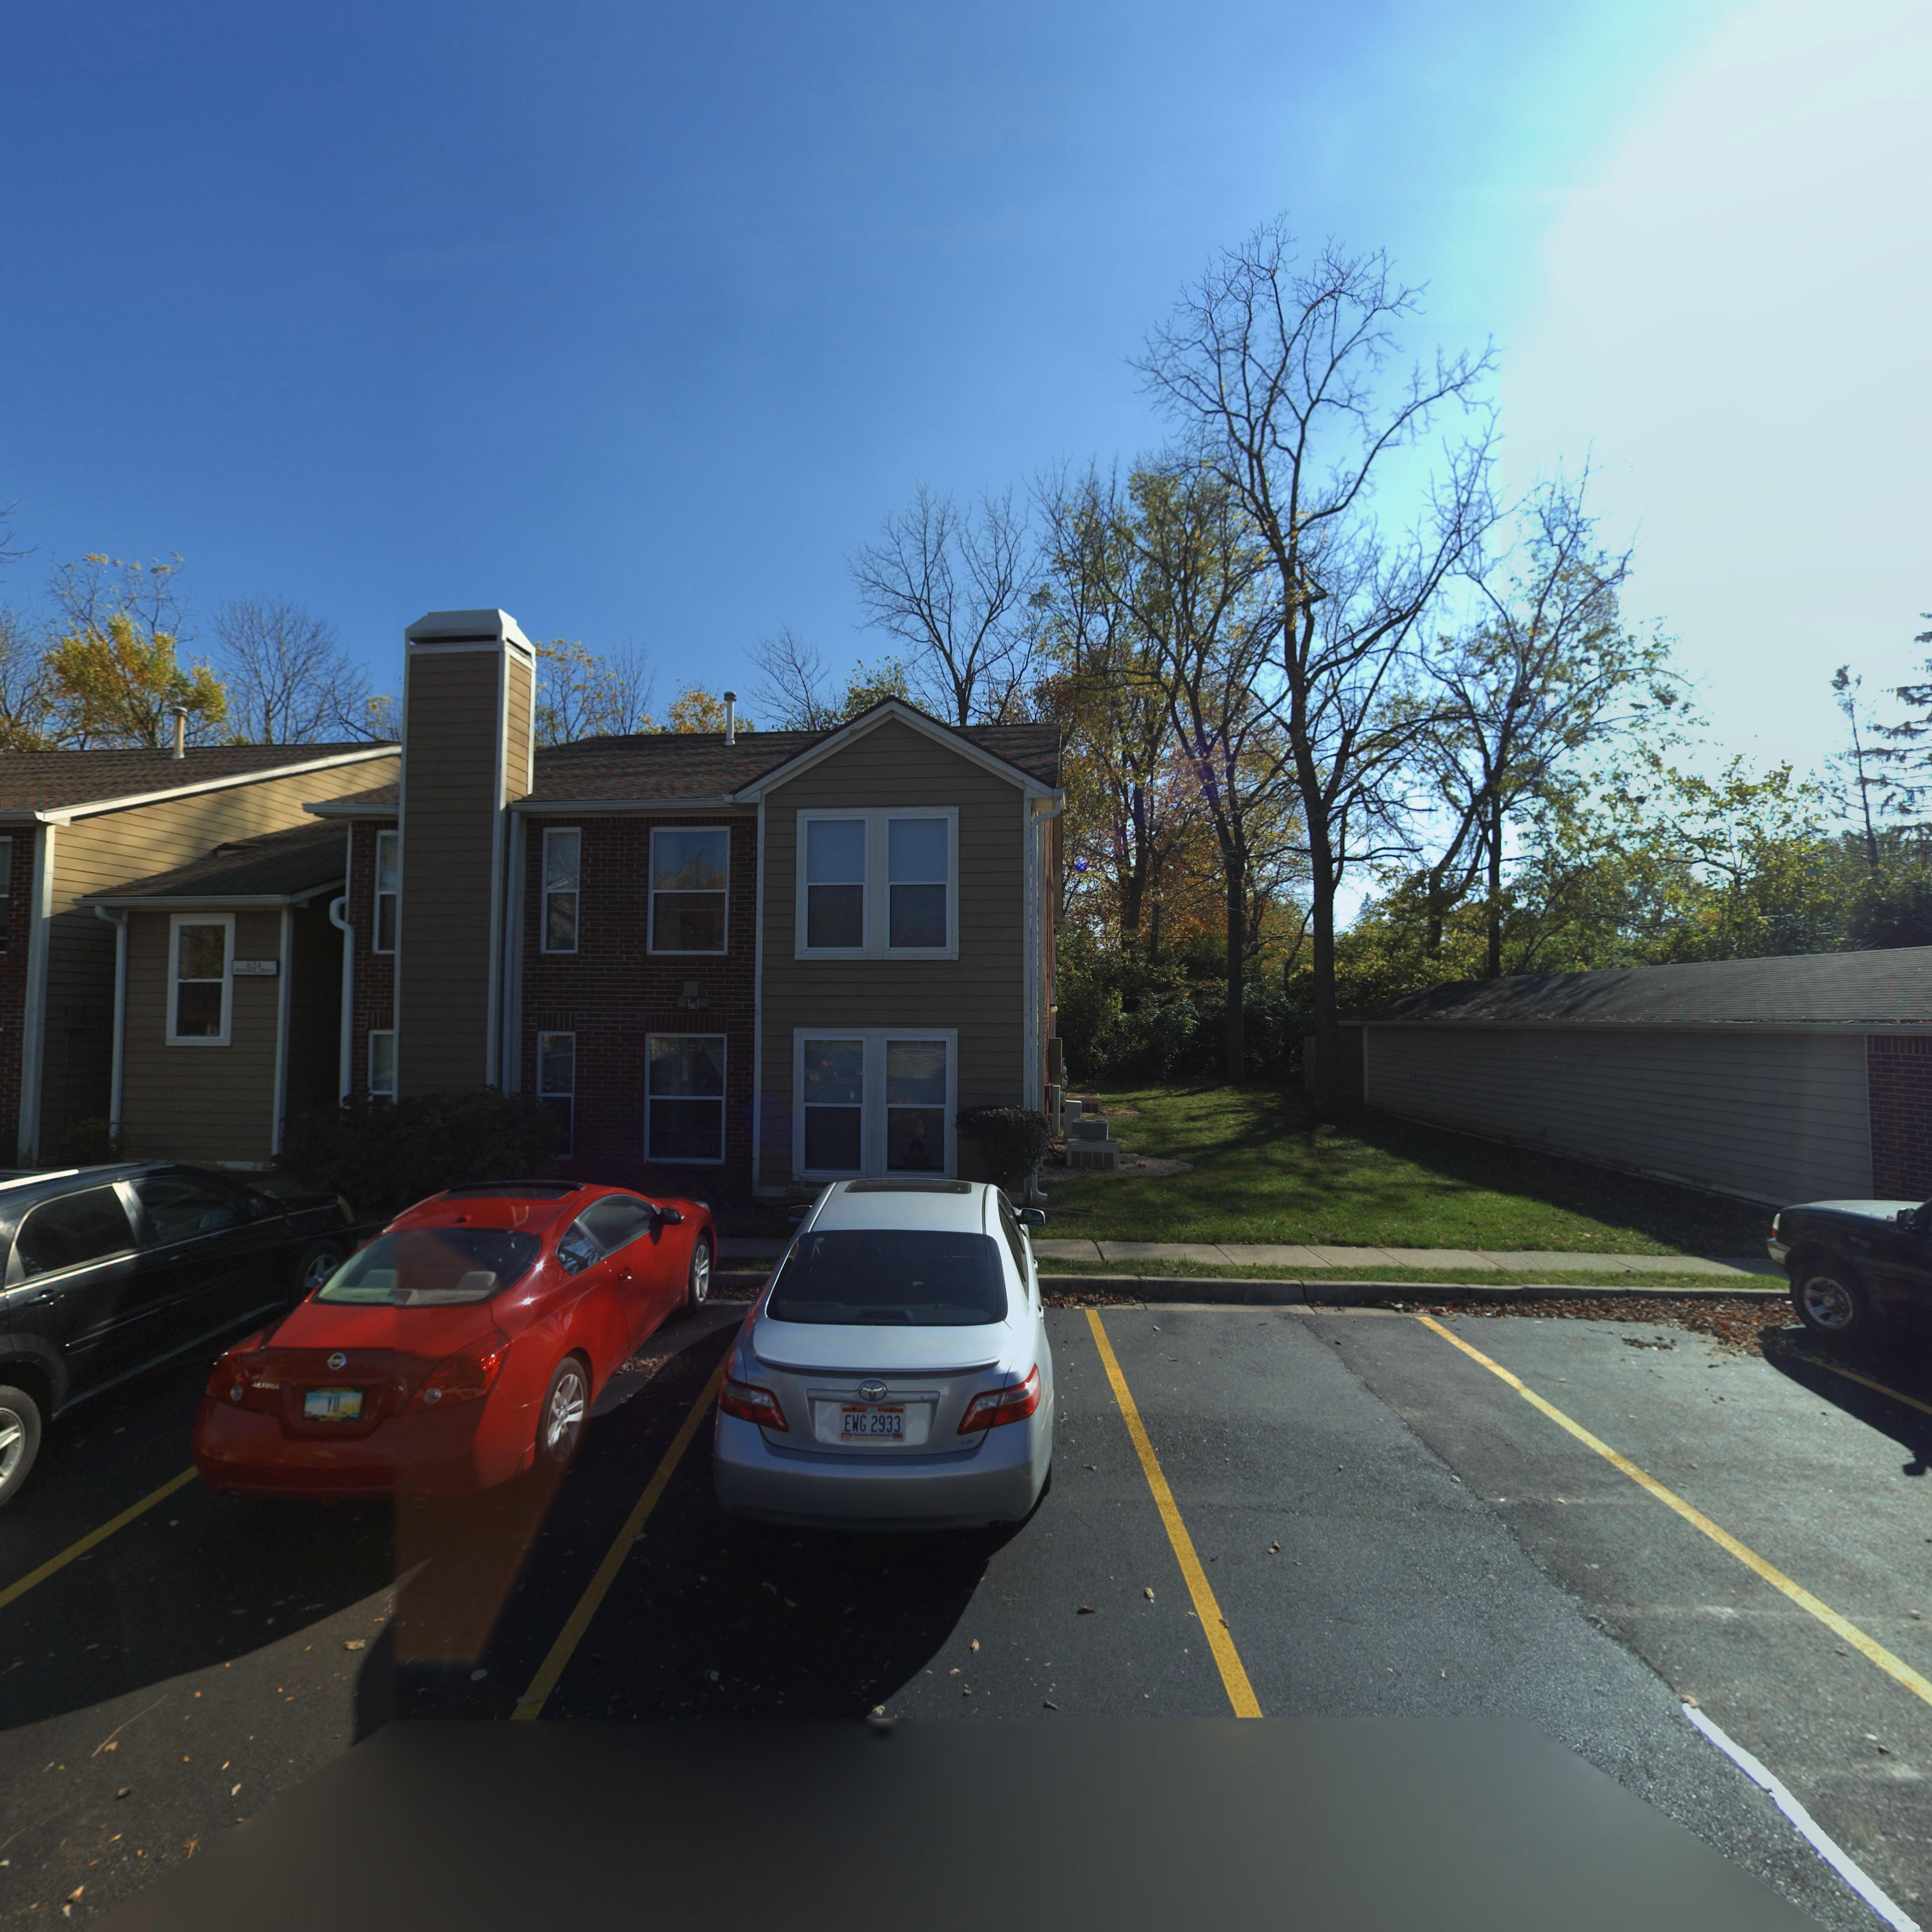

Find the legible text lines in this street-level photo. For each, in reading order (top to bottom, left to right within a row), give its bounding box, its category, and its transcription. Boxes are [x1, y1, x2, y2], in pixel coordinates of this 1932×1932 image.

[246, 960, 262, 970] StreetNumber: 654
[326, 1395, 342, 1414] None: YU
[842, 1413, 902, 1434] None: EWG 2933